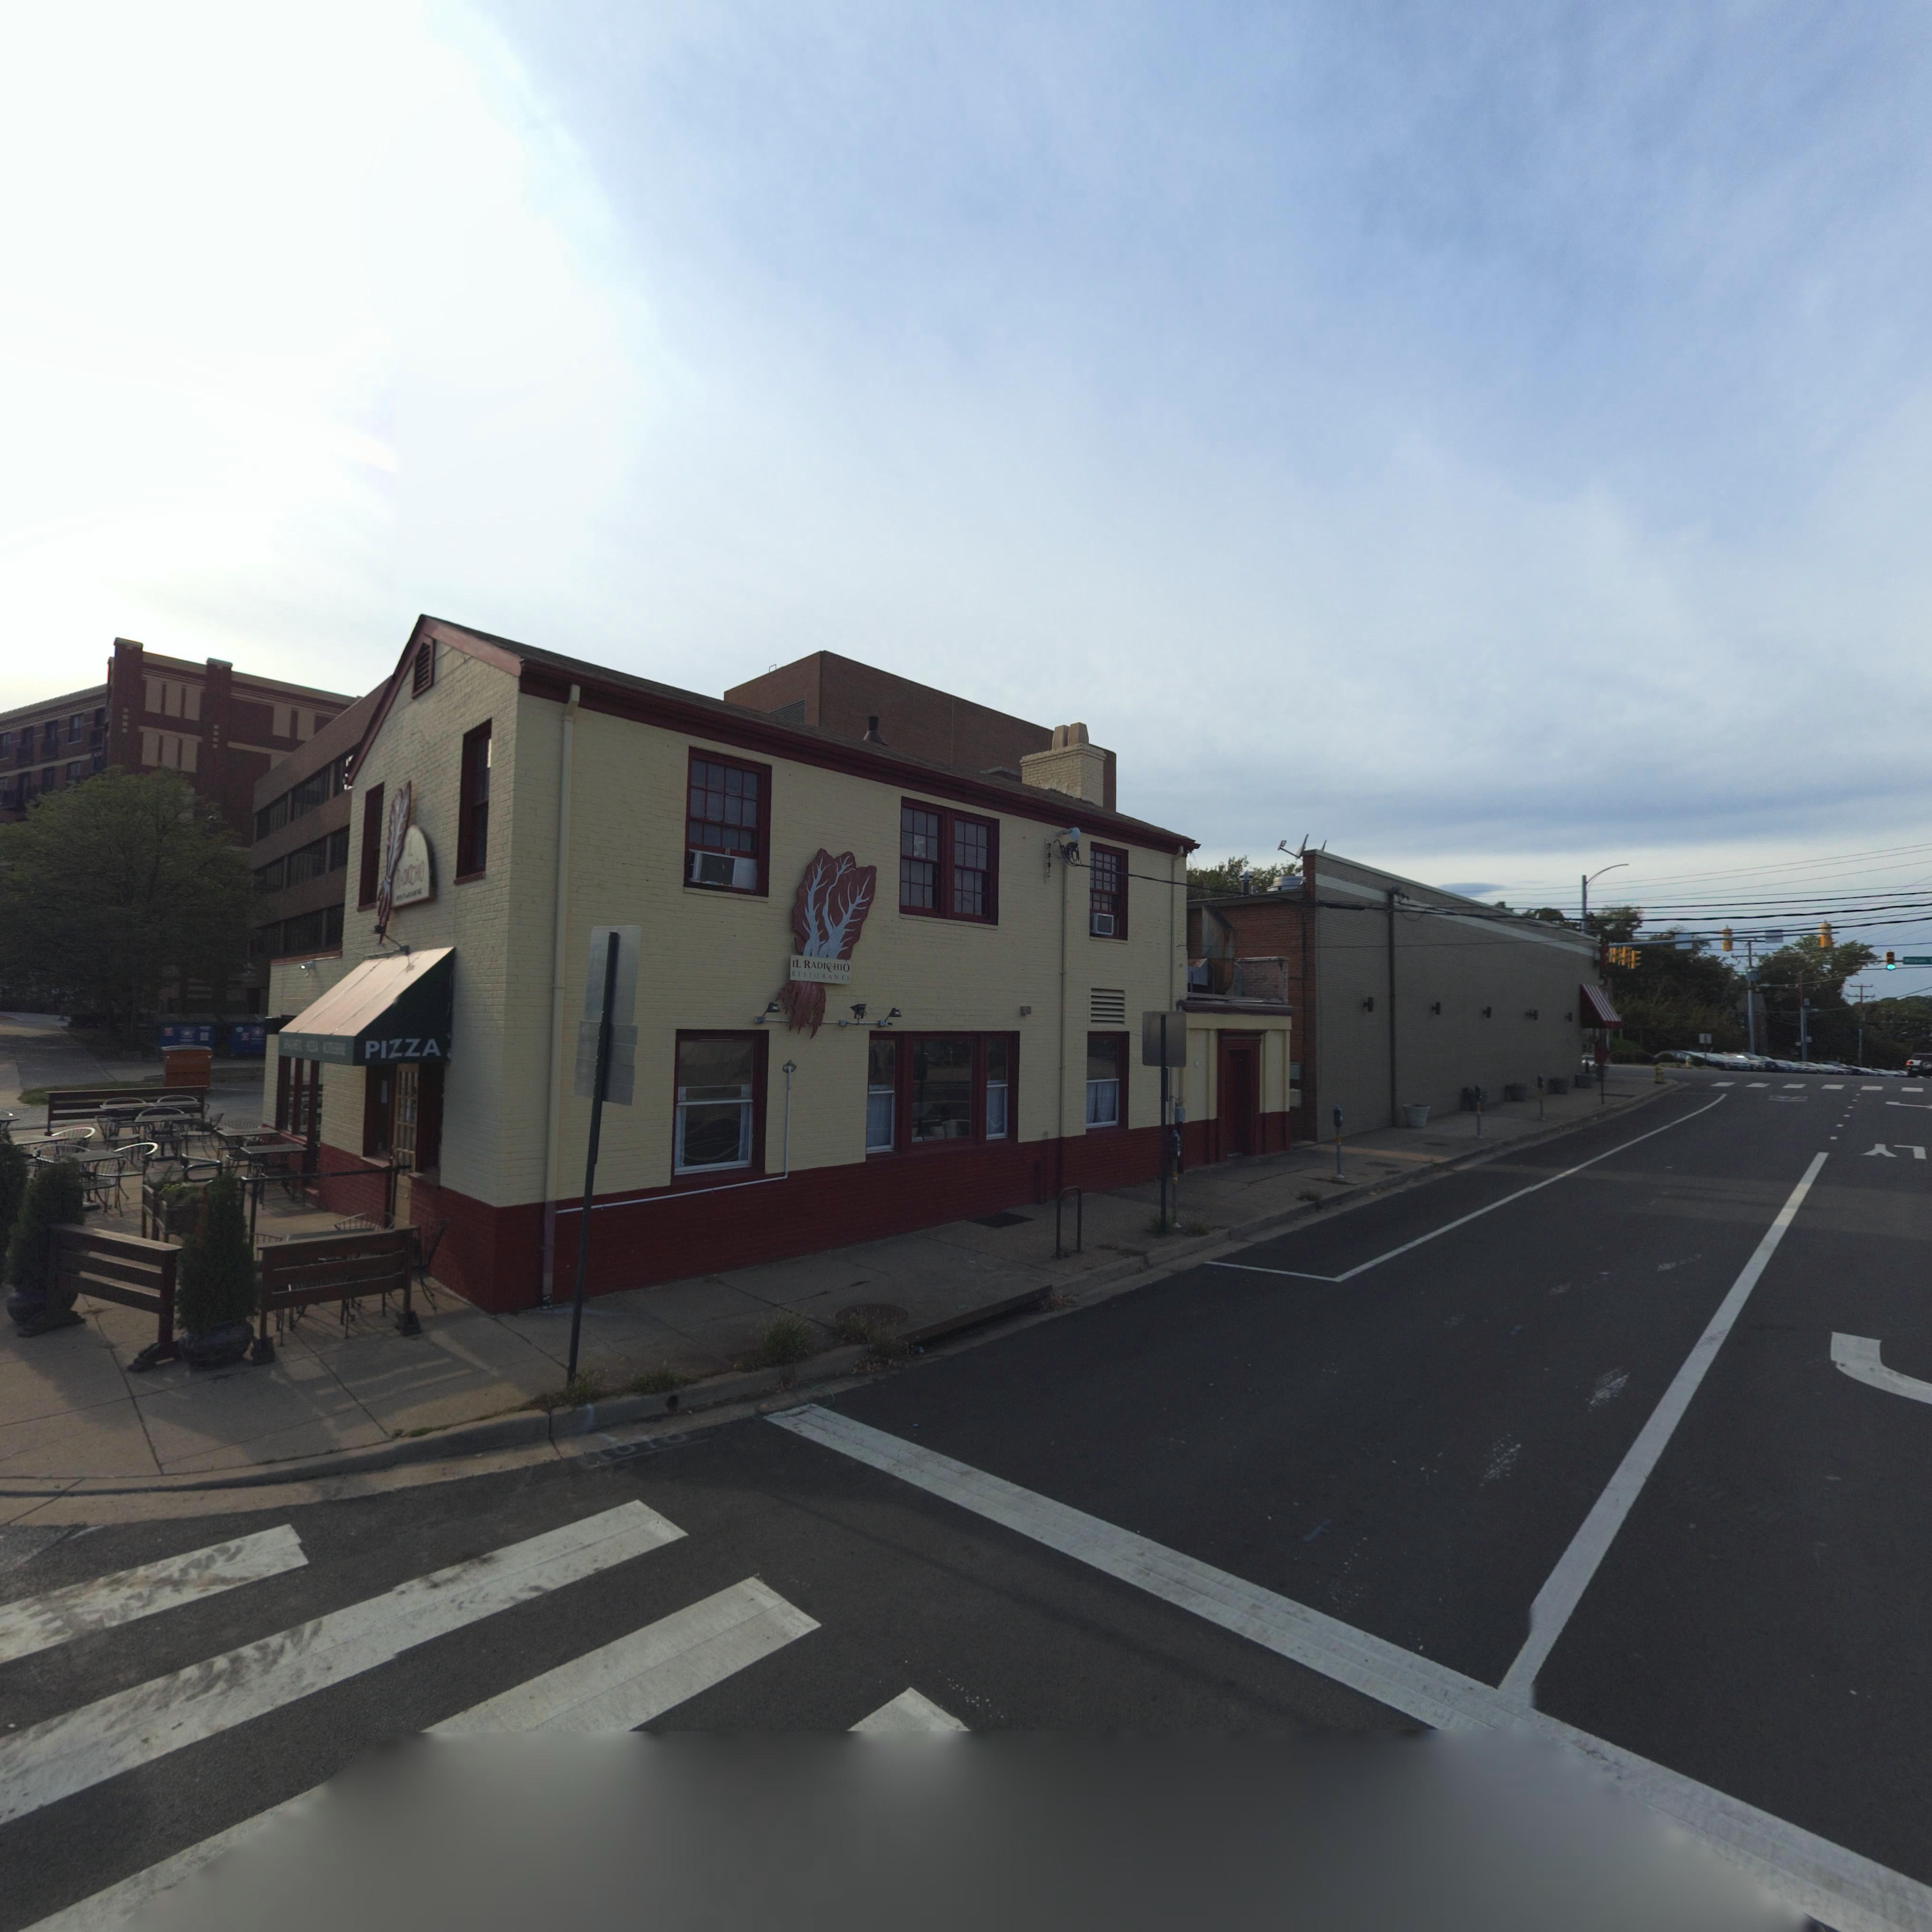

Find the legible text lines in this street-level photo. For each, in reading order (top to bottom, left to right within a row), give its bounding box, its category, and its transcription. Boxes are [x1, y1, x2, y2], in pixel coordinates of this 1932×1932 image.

[791, 958, 851, 974] BusinessName: IL RADI**HIO
[791, 969, 851, 982] None: RISTORANTE
[363, 1037, 442, 1061] None: PI*ZA